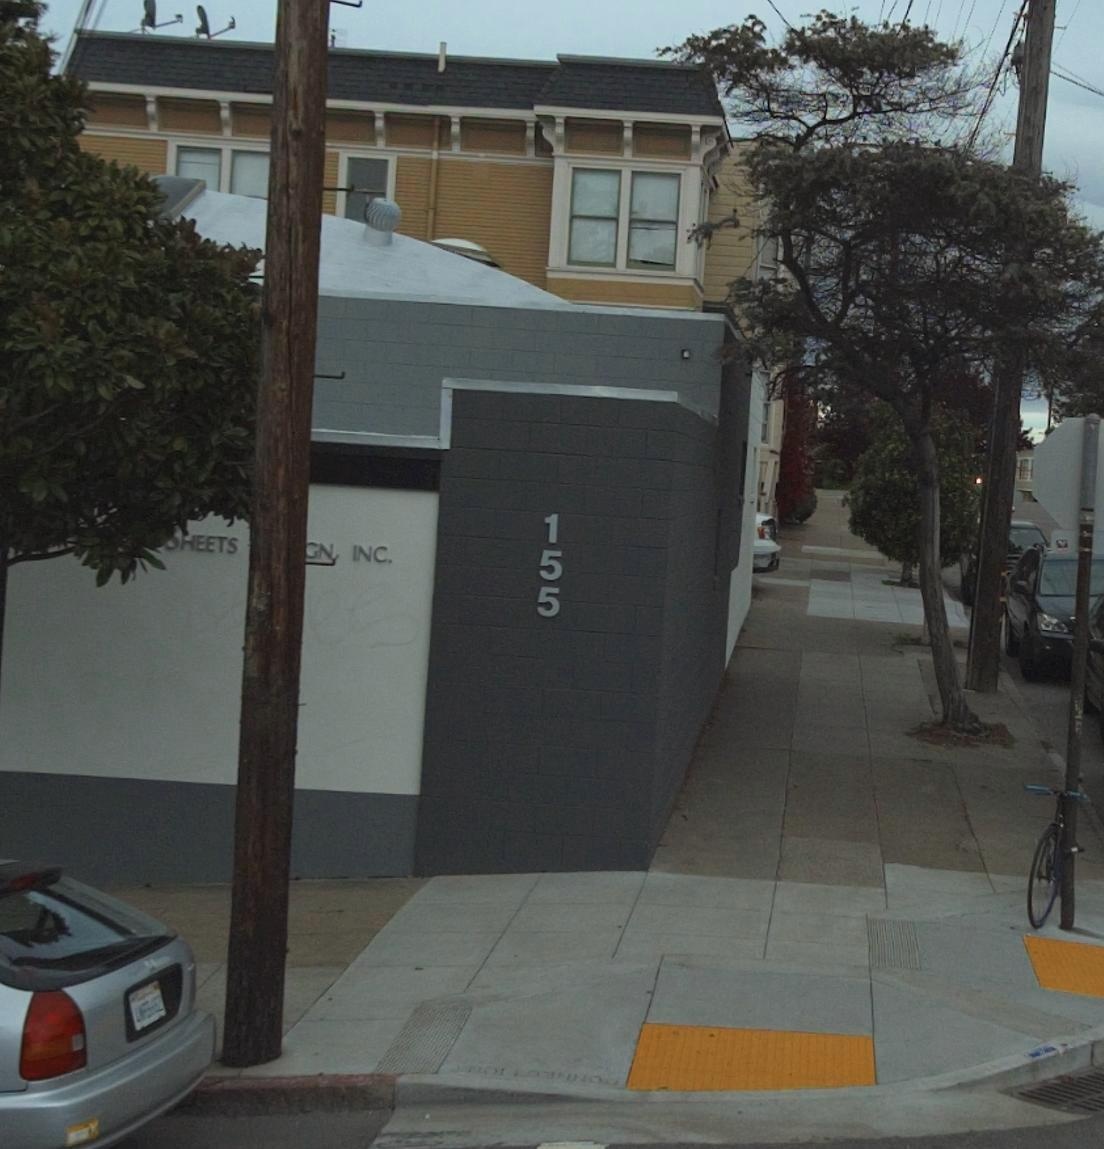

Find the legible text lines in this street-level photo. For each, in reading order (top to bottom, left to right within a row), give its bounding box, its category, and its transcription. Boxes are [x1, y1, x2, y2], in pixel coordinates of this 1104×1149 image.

[180, 531, 239, 555] None: HEETS
[318, 542, 334, 562] None: N
[351, 543, 393, 564] None: INC.
[535, 510, 566, 619] StreetNumber: 155